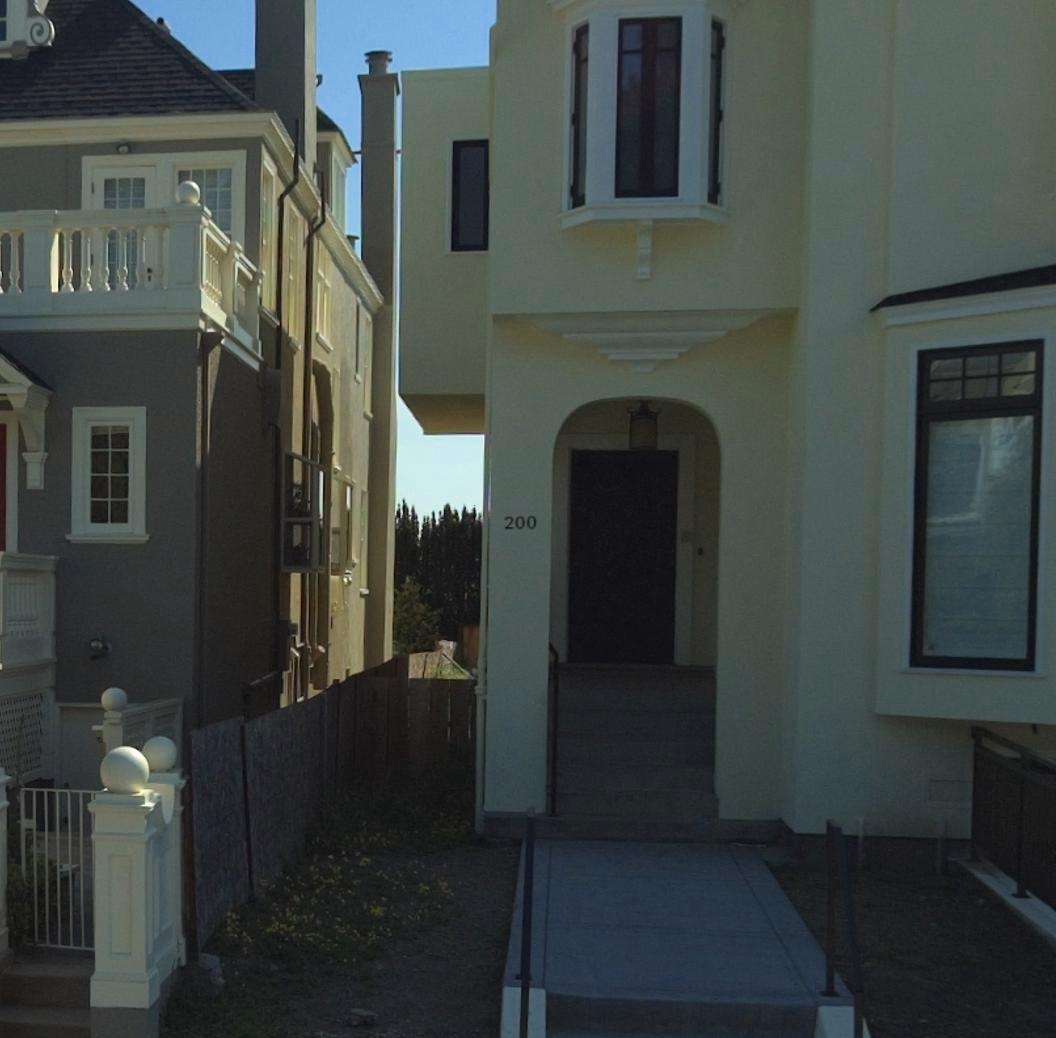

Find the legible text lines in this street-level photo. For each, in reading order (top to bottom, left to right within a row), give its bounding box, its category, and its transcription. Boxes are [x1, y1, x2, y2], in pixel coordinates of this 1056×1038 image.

[501, 512, 539, 532] StreetNumber: 200